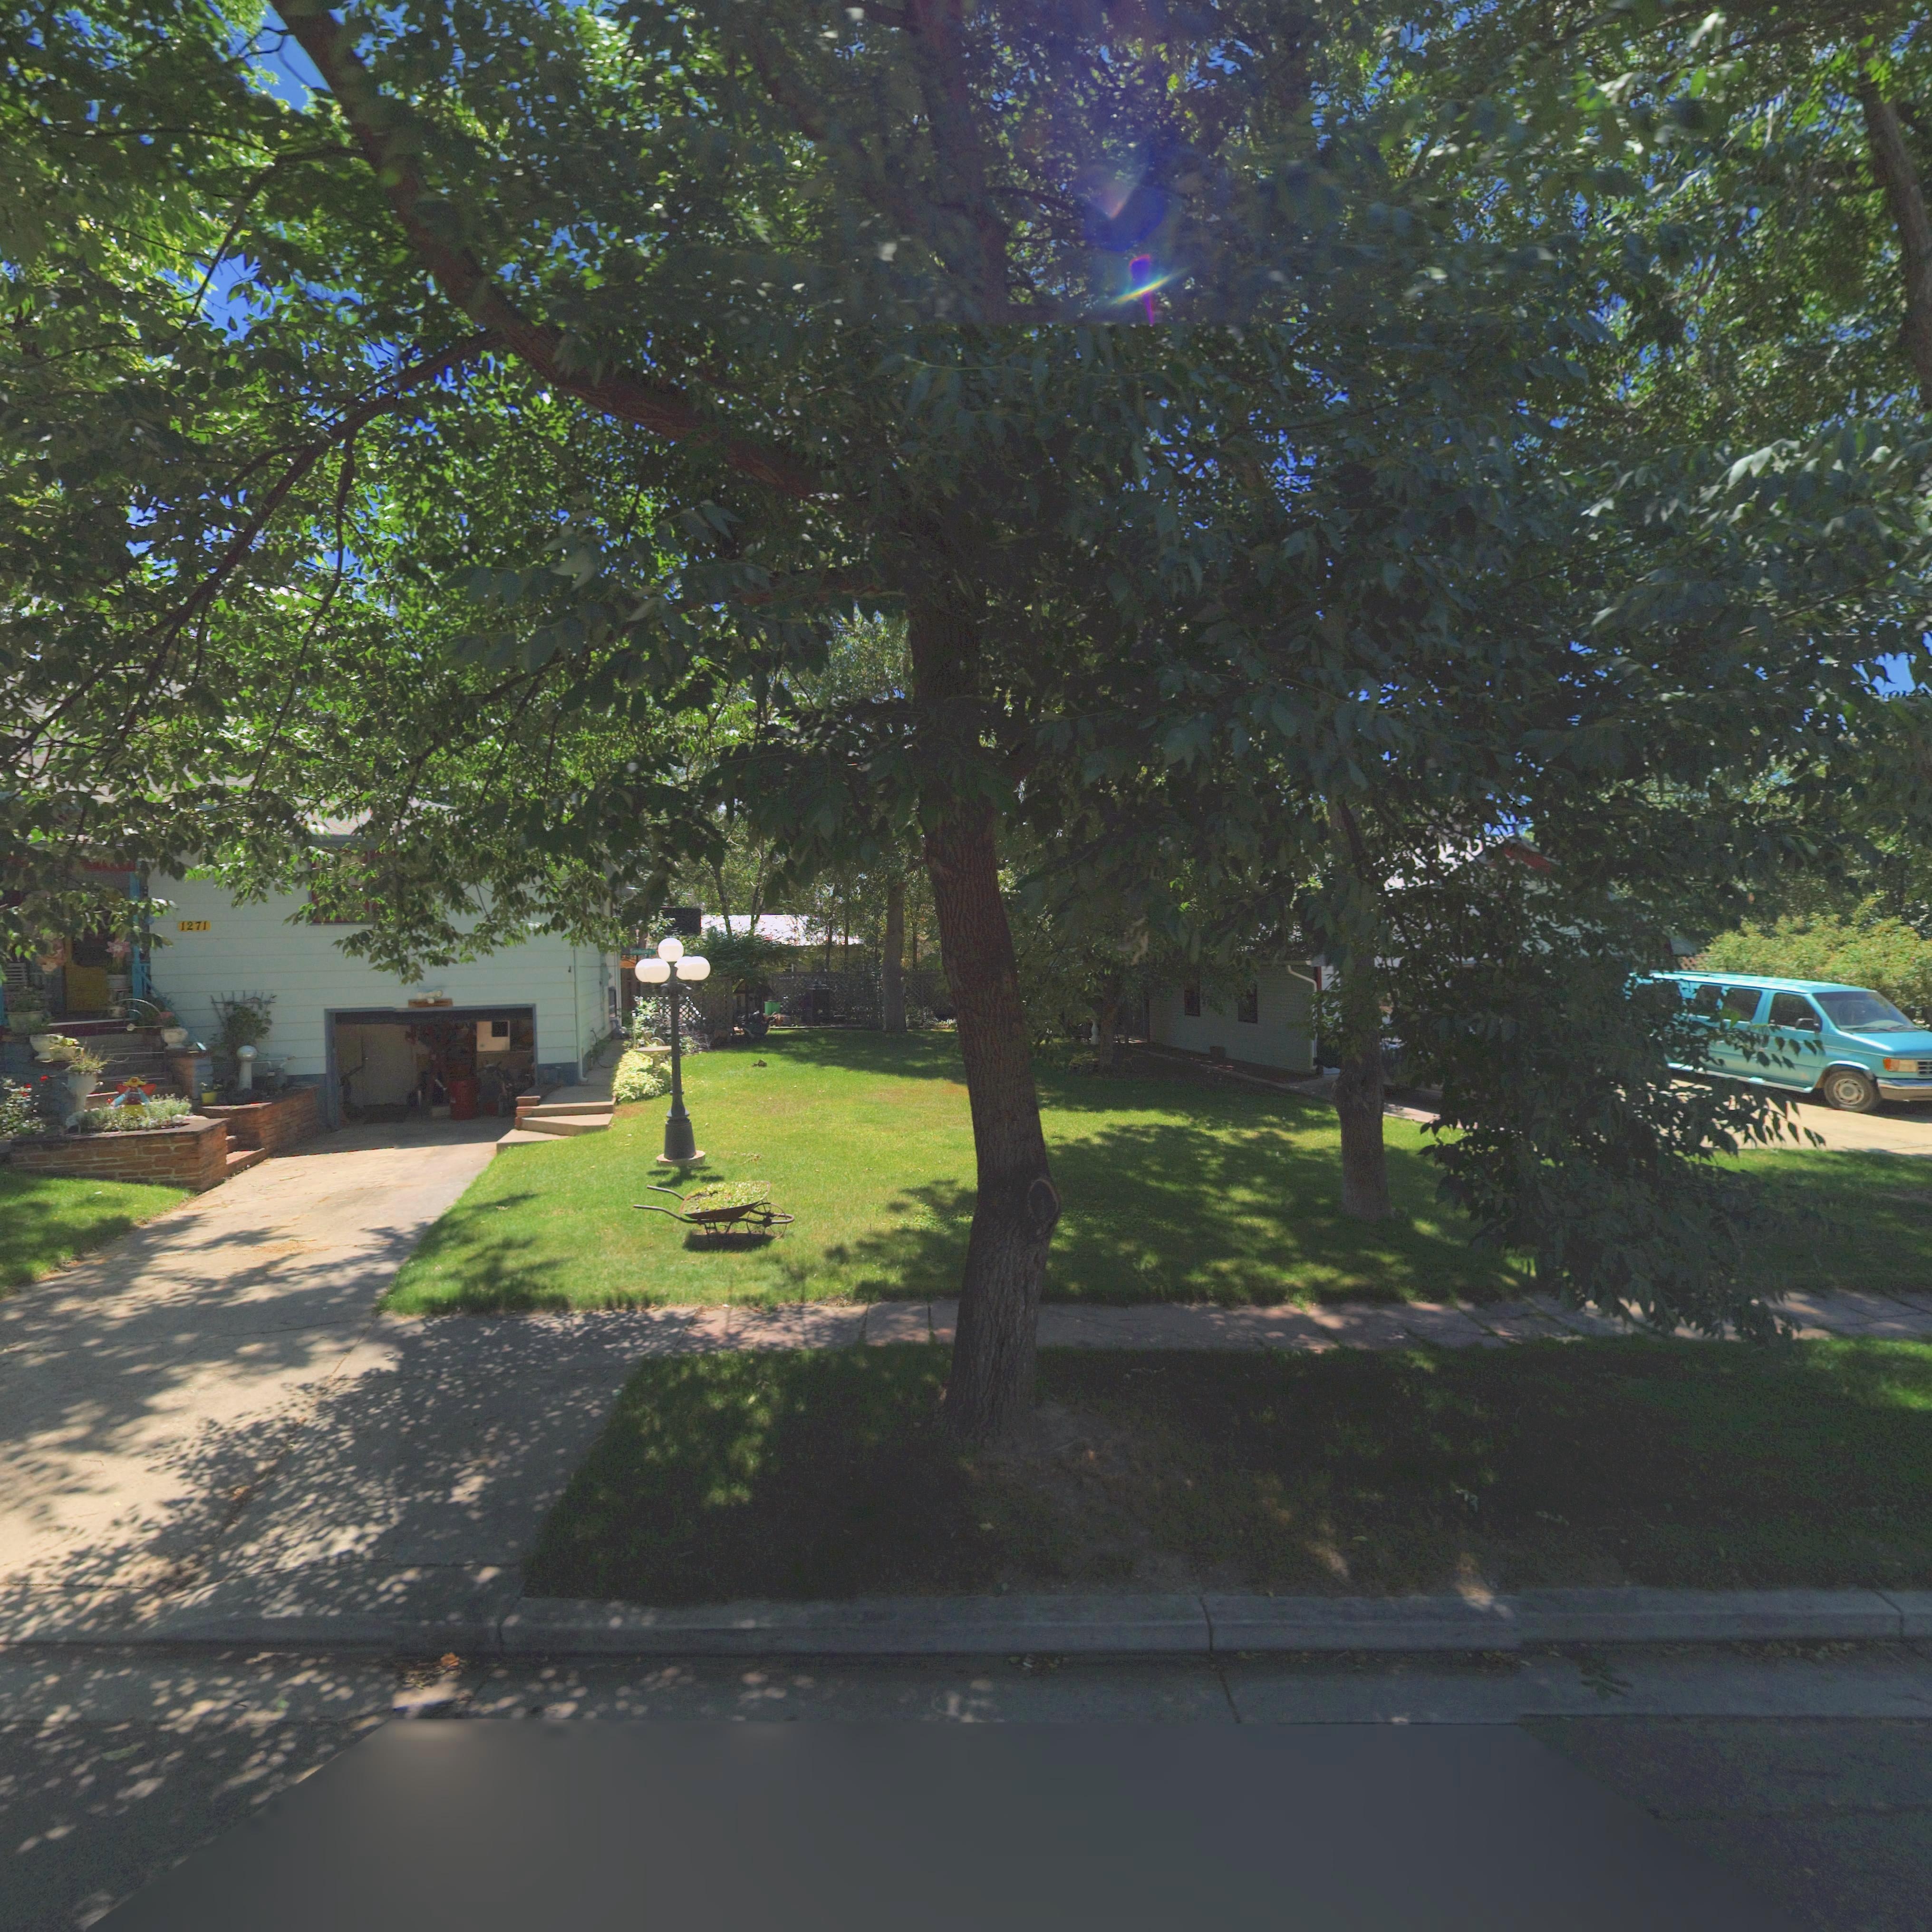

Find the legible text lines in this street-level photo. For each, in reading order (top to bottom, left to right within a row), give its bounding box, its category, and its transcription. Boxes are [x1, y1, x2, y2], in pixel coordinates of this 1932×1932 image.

[181, 921, 206, 930] StreetNumber: 1271
[629, 948, 651, 954] StreetName: Sano***